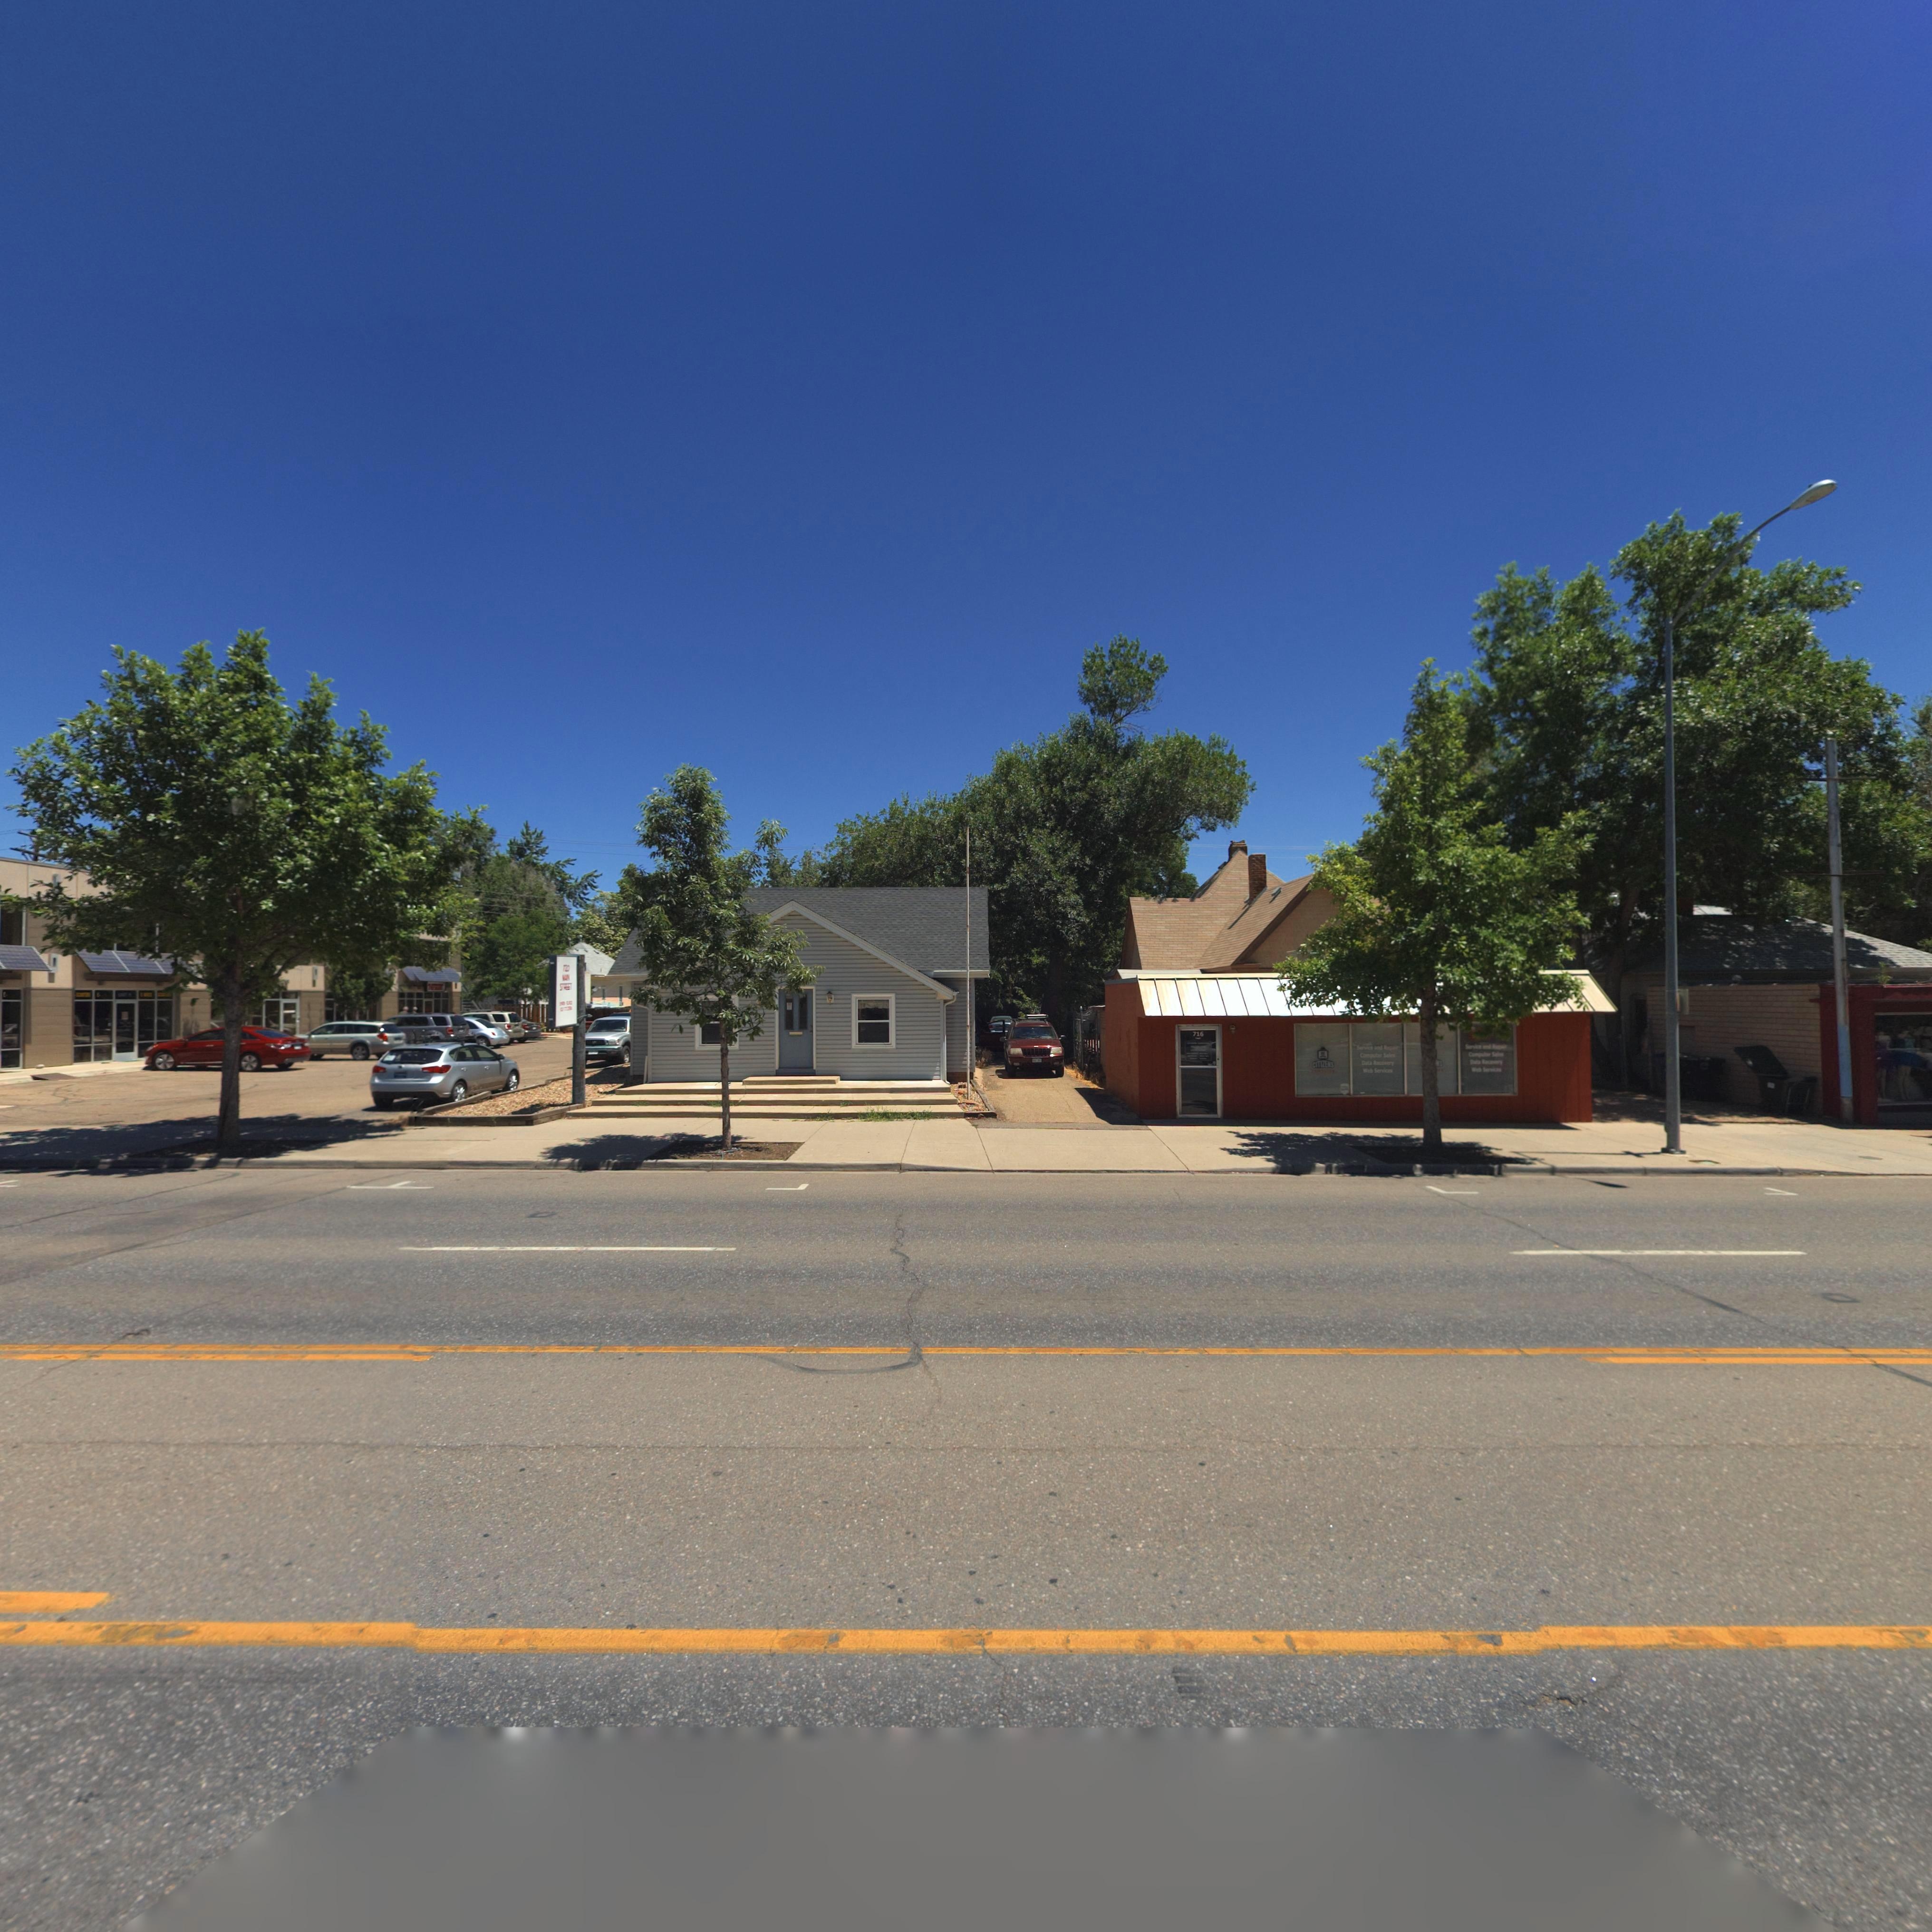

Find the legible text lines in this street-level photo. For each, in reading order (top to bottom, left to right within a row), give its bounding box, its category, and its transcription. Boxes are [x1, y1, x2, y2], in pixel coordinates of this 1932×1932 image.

[563, 964, 570, 972] StreetNumber: 720
[562, 974, 570, 981] StreetName: MA*N
[559, 983, 572, 991] StreetName: ST*EET
[1192, 1031, 1204, 1036] StreetNumber: 716